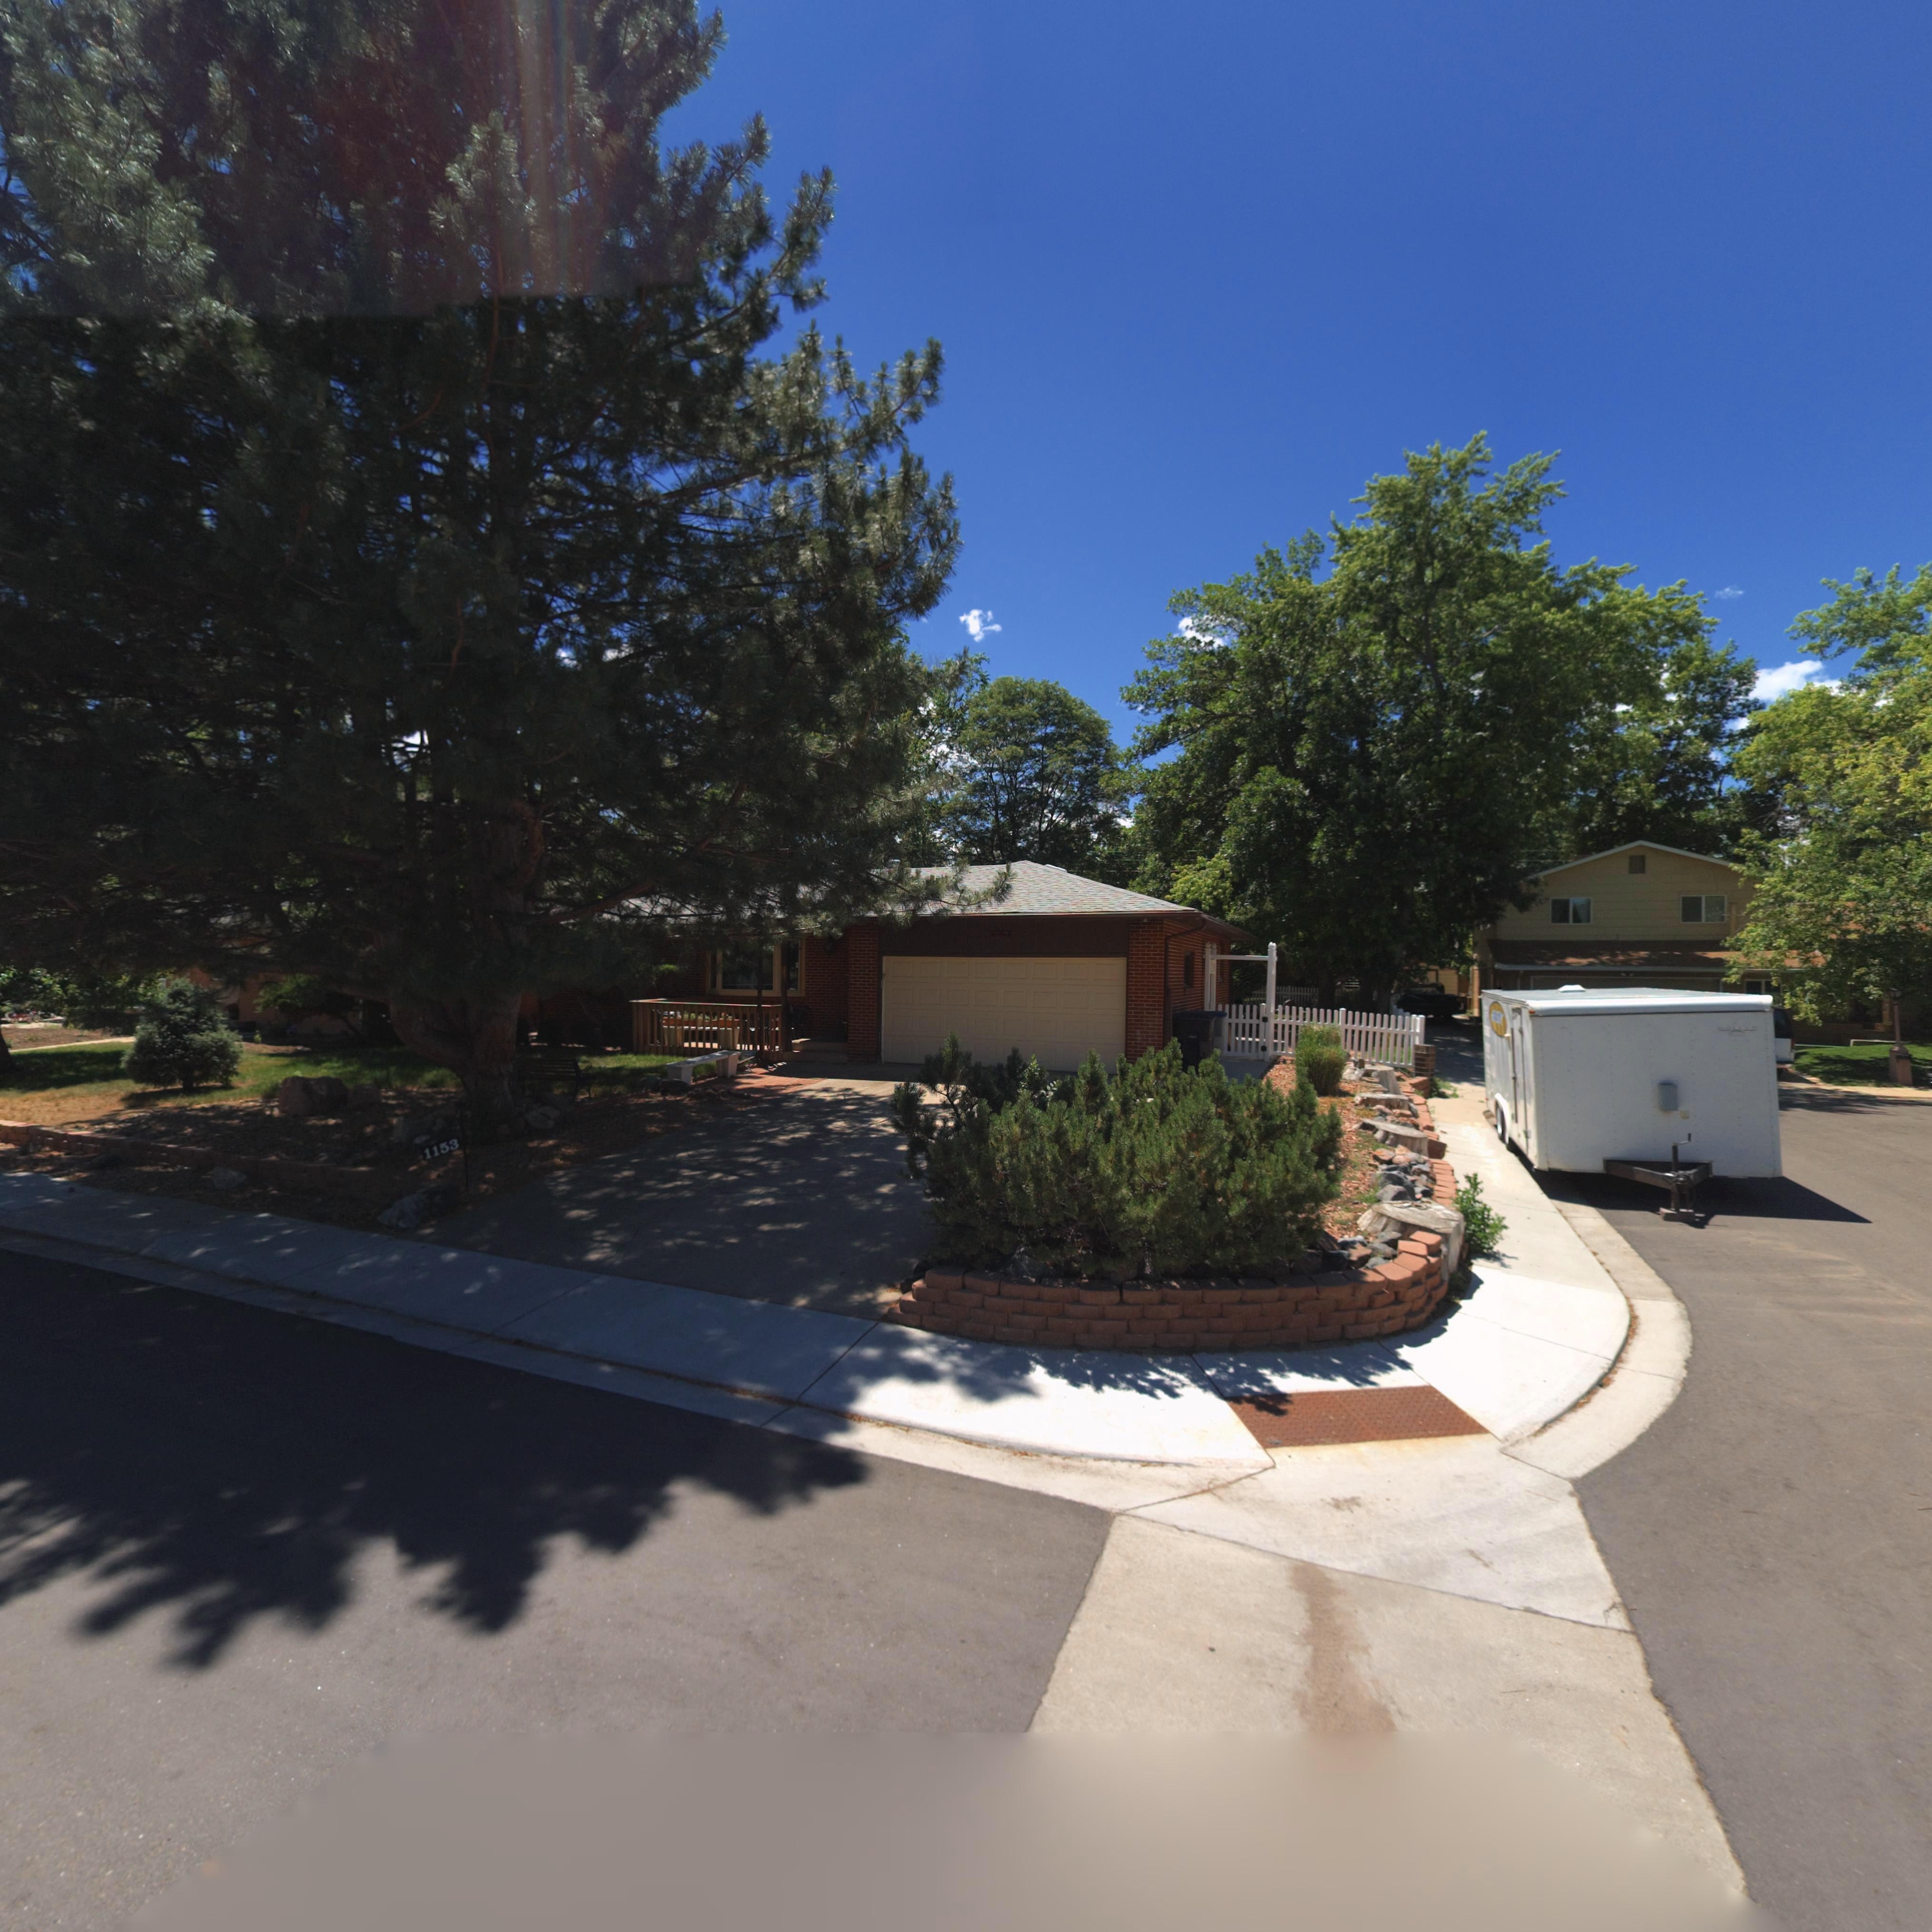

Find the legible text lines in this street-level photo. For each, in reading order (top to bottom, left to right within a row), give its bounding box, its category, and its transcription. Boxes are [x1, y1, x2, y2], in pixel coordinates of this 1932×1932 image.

[422, 1138, 460, 1160] StreetNumber: 1153